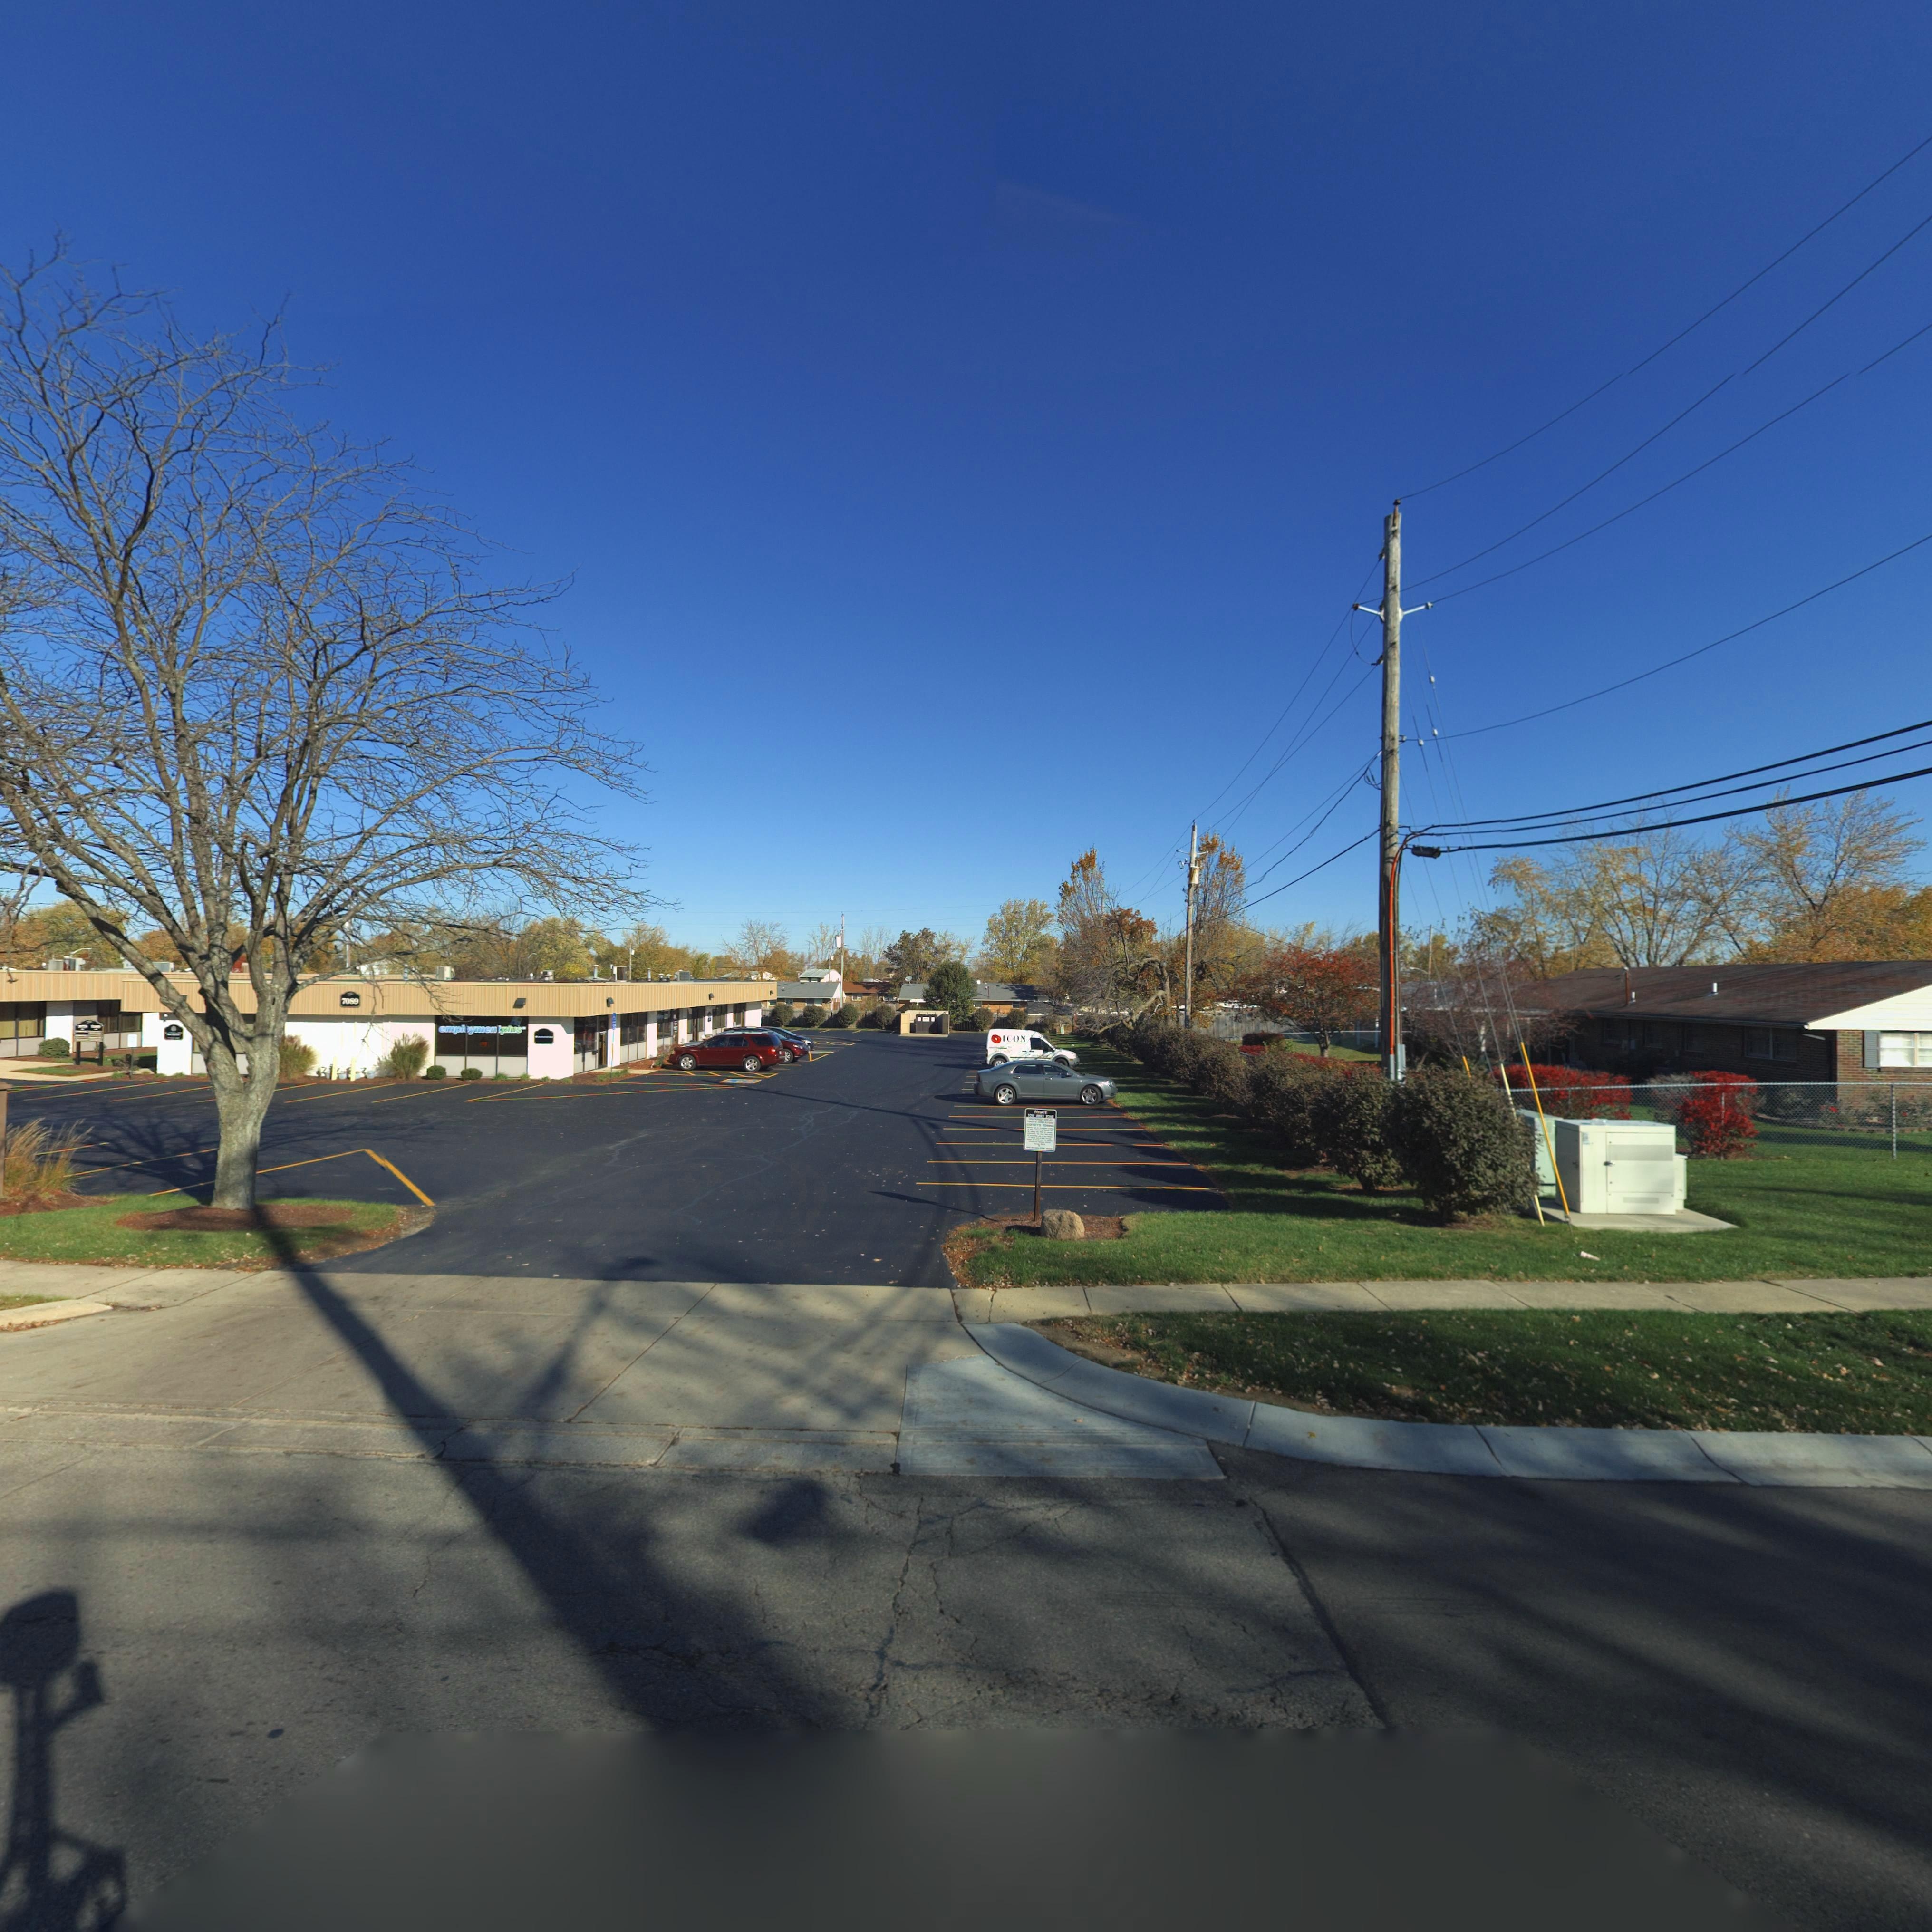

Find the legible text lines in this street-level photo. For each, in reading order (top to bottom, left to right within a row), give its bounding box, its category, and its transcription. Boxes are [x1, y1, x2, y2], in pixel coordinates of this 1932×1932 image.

[340, 996, 360, 1006] StreetNumber: 7089
[437, 1024, 523, 1036] BusinessName: empl*ymen*plus